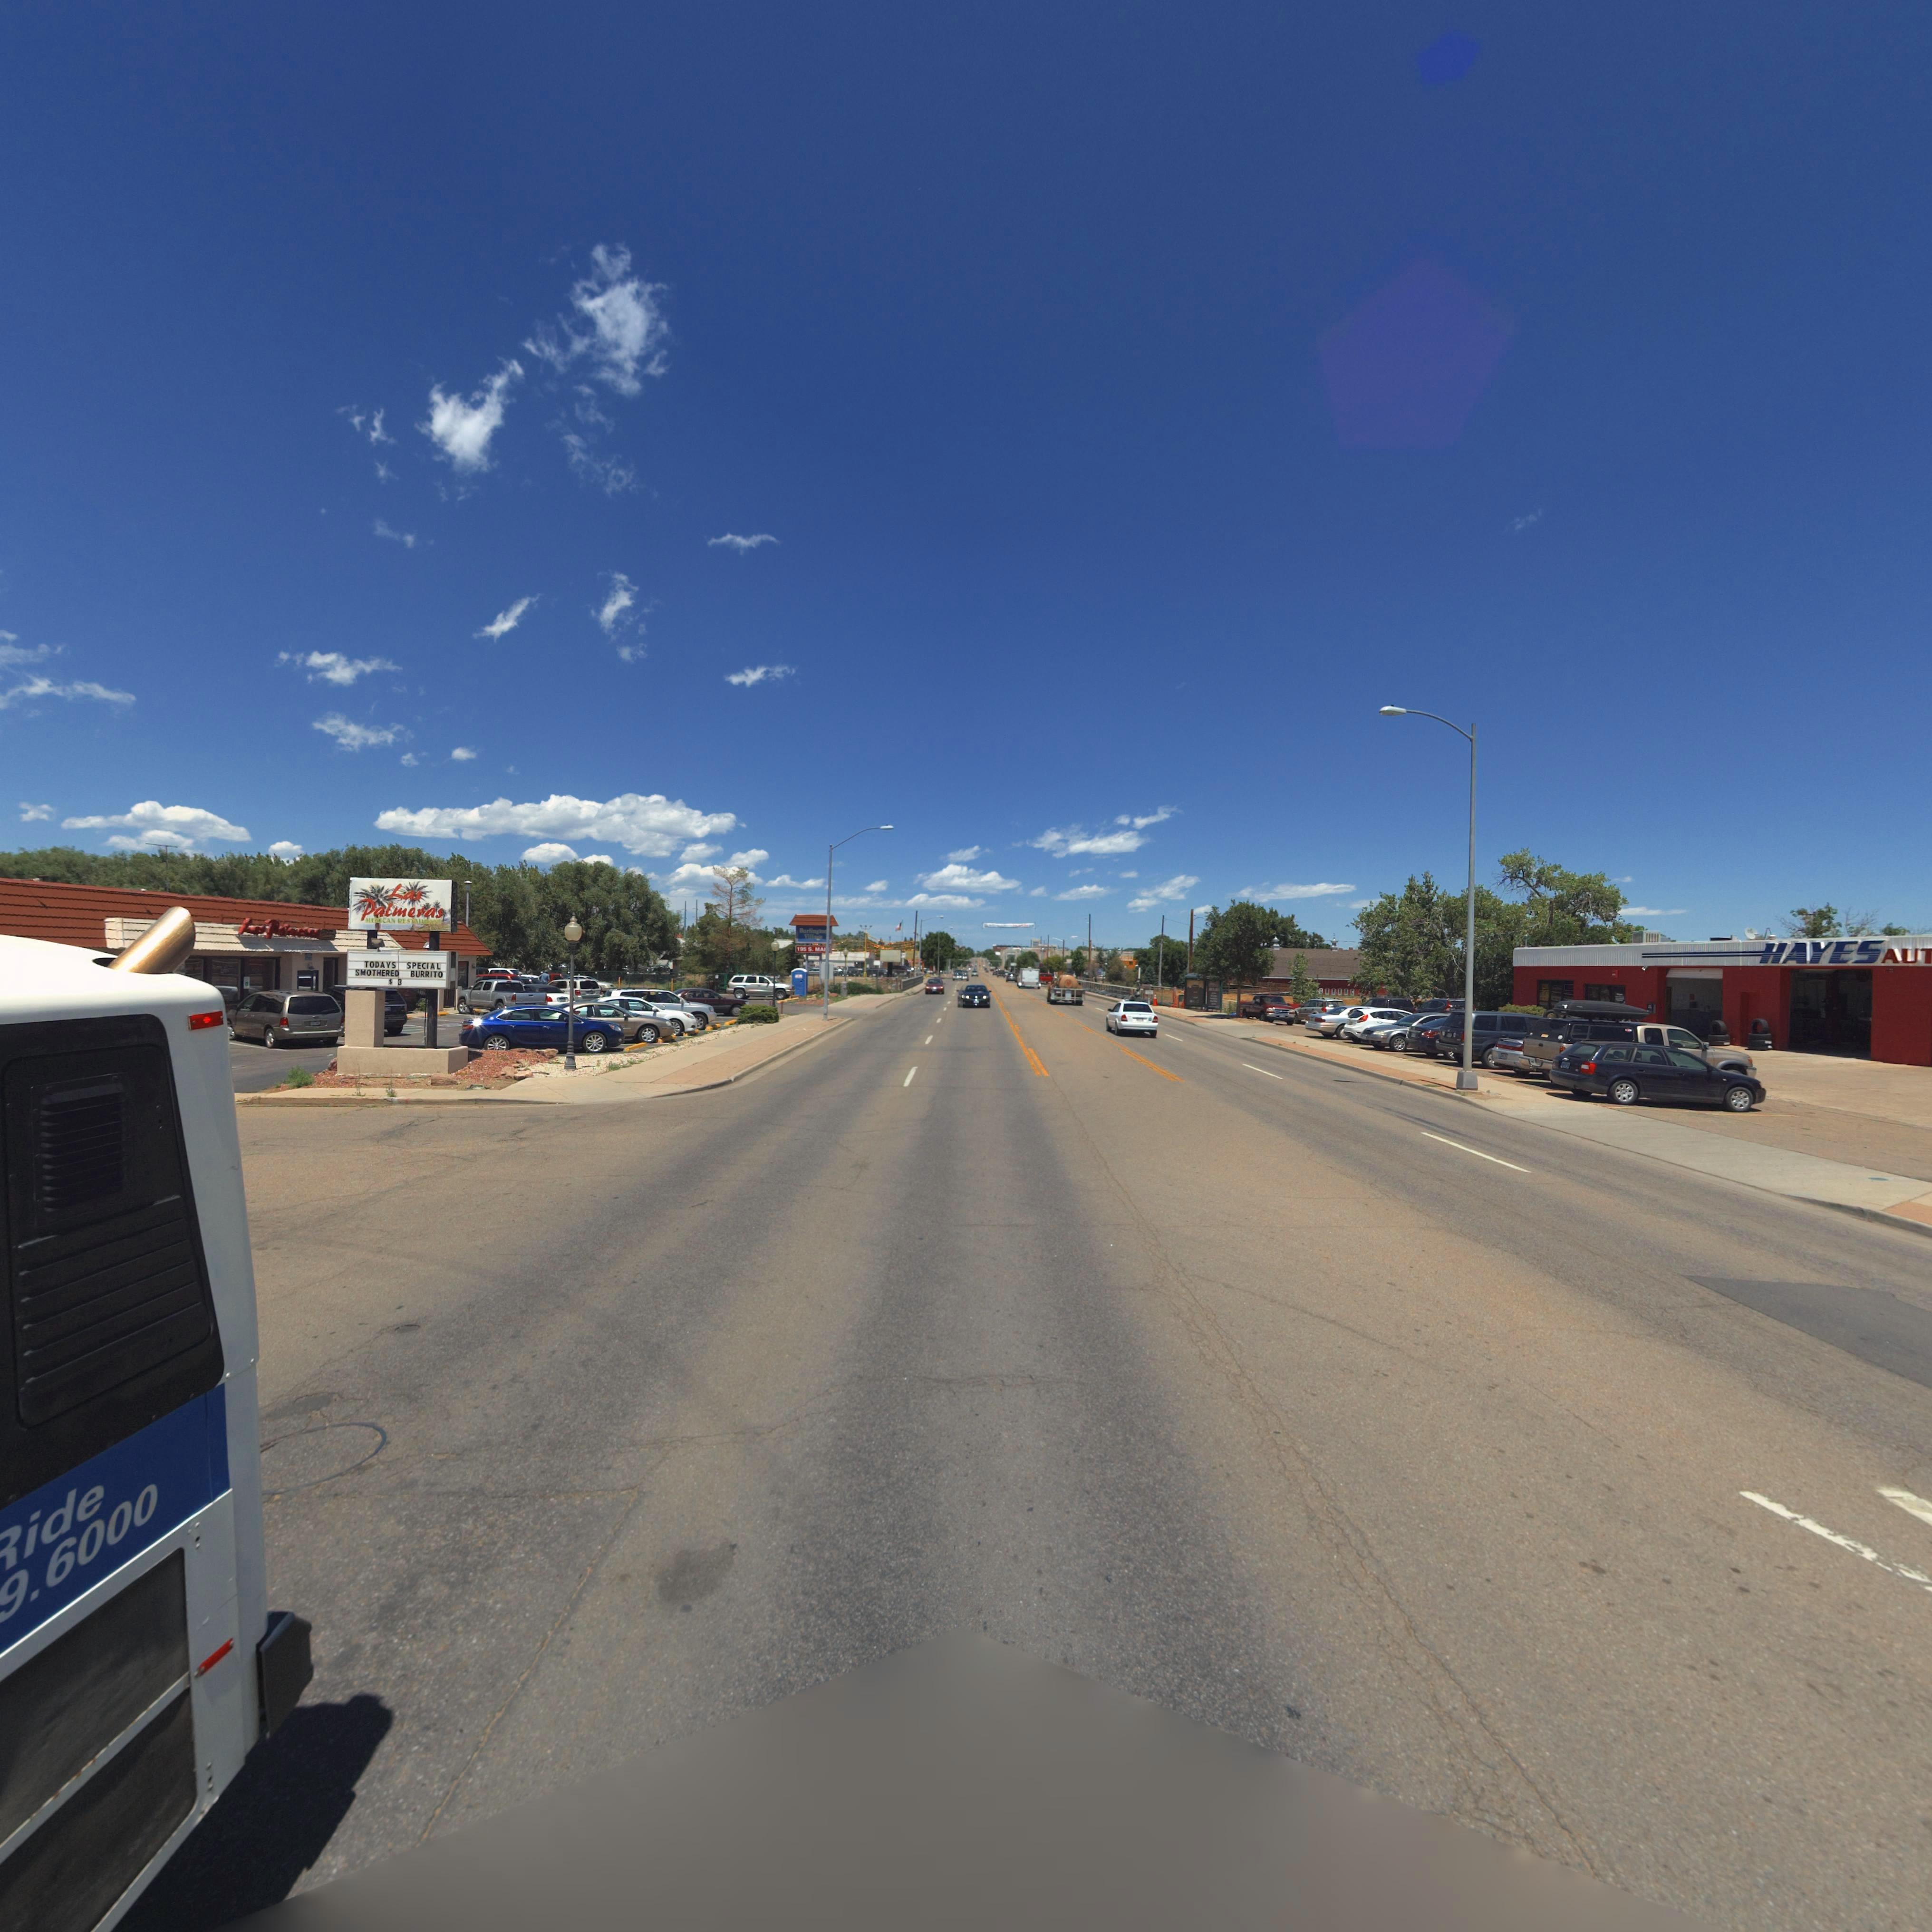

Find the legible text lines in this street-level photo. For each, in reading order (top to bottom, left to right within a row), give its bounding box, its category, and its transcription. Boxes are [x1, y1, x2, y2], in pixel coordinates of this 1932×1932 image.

[386, 882, 422, 901] BusinessName: Las
[359, 898, 444, 921] BusinessName: Palmeras
[237, 916, 321, 939] BusinessName: Las Pal*eras
[364, 917, 442, 924] BusinessName: MEXICAN RESTAUR*NT
[796, 947, 806, 951] StreetNumber: 195
[808, 946, 830, 952] StreetName: S. MAI*
[1758, 939, 1919, 964] BusinessName: HAYES AU